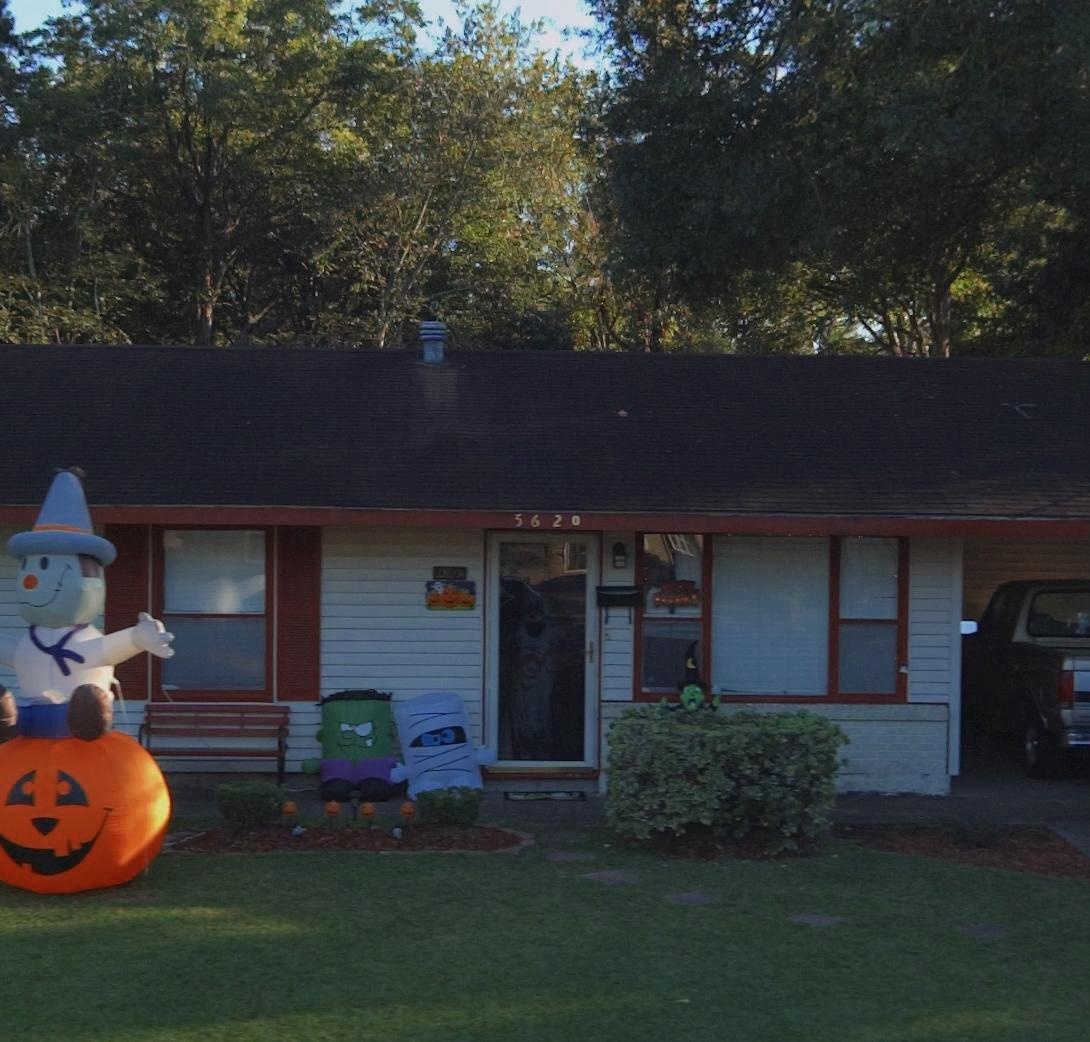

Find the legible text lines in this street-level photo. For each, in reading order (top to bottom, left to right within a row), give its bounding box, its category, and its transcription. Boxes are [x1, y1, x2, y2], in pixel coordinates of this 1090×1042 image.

[512, 512, 582, 529] StreetNumber: 5620